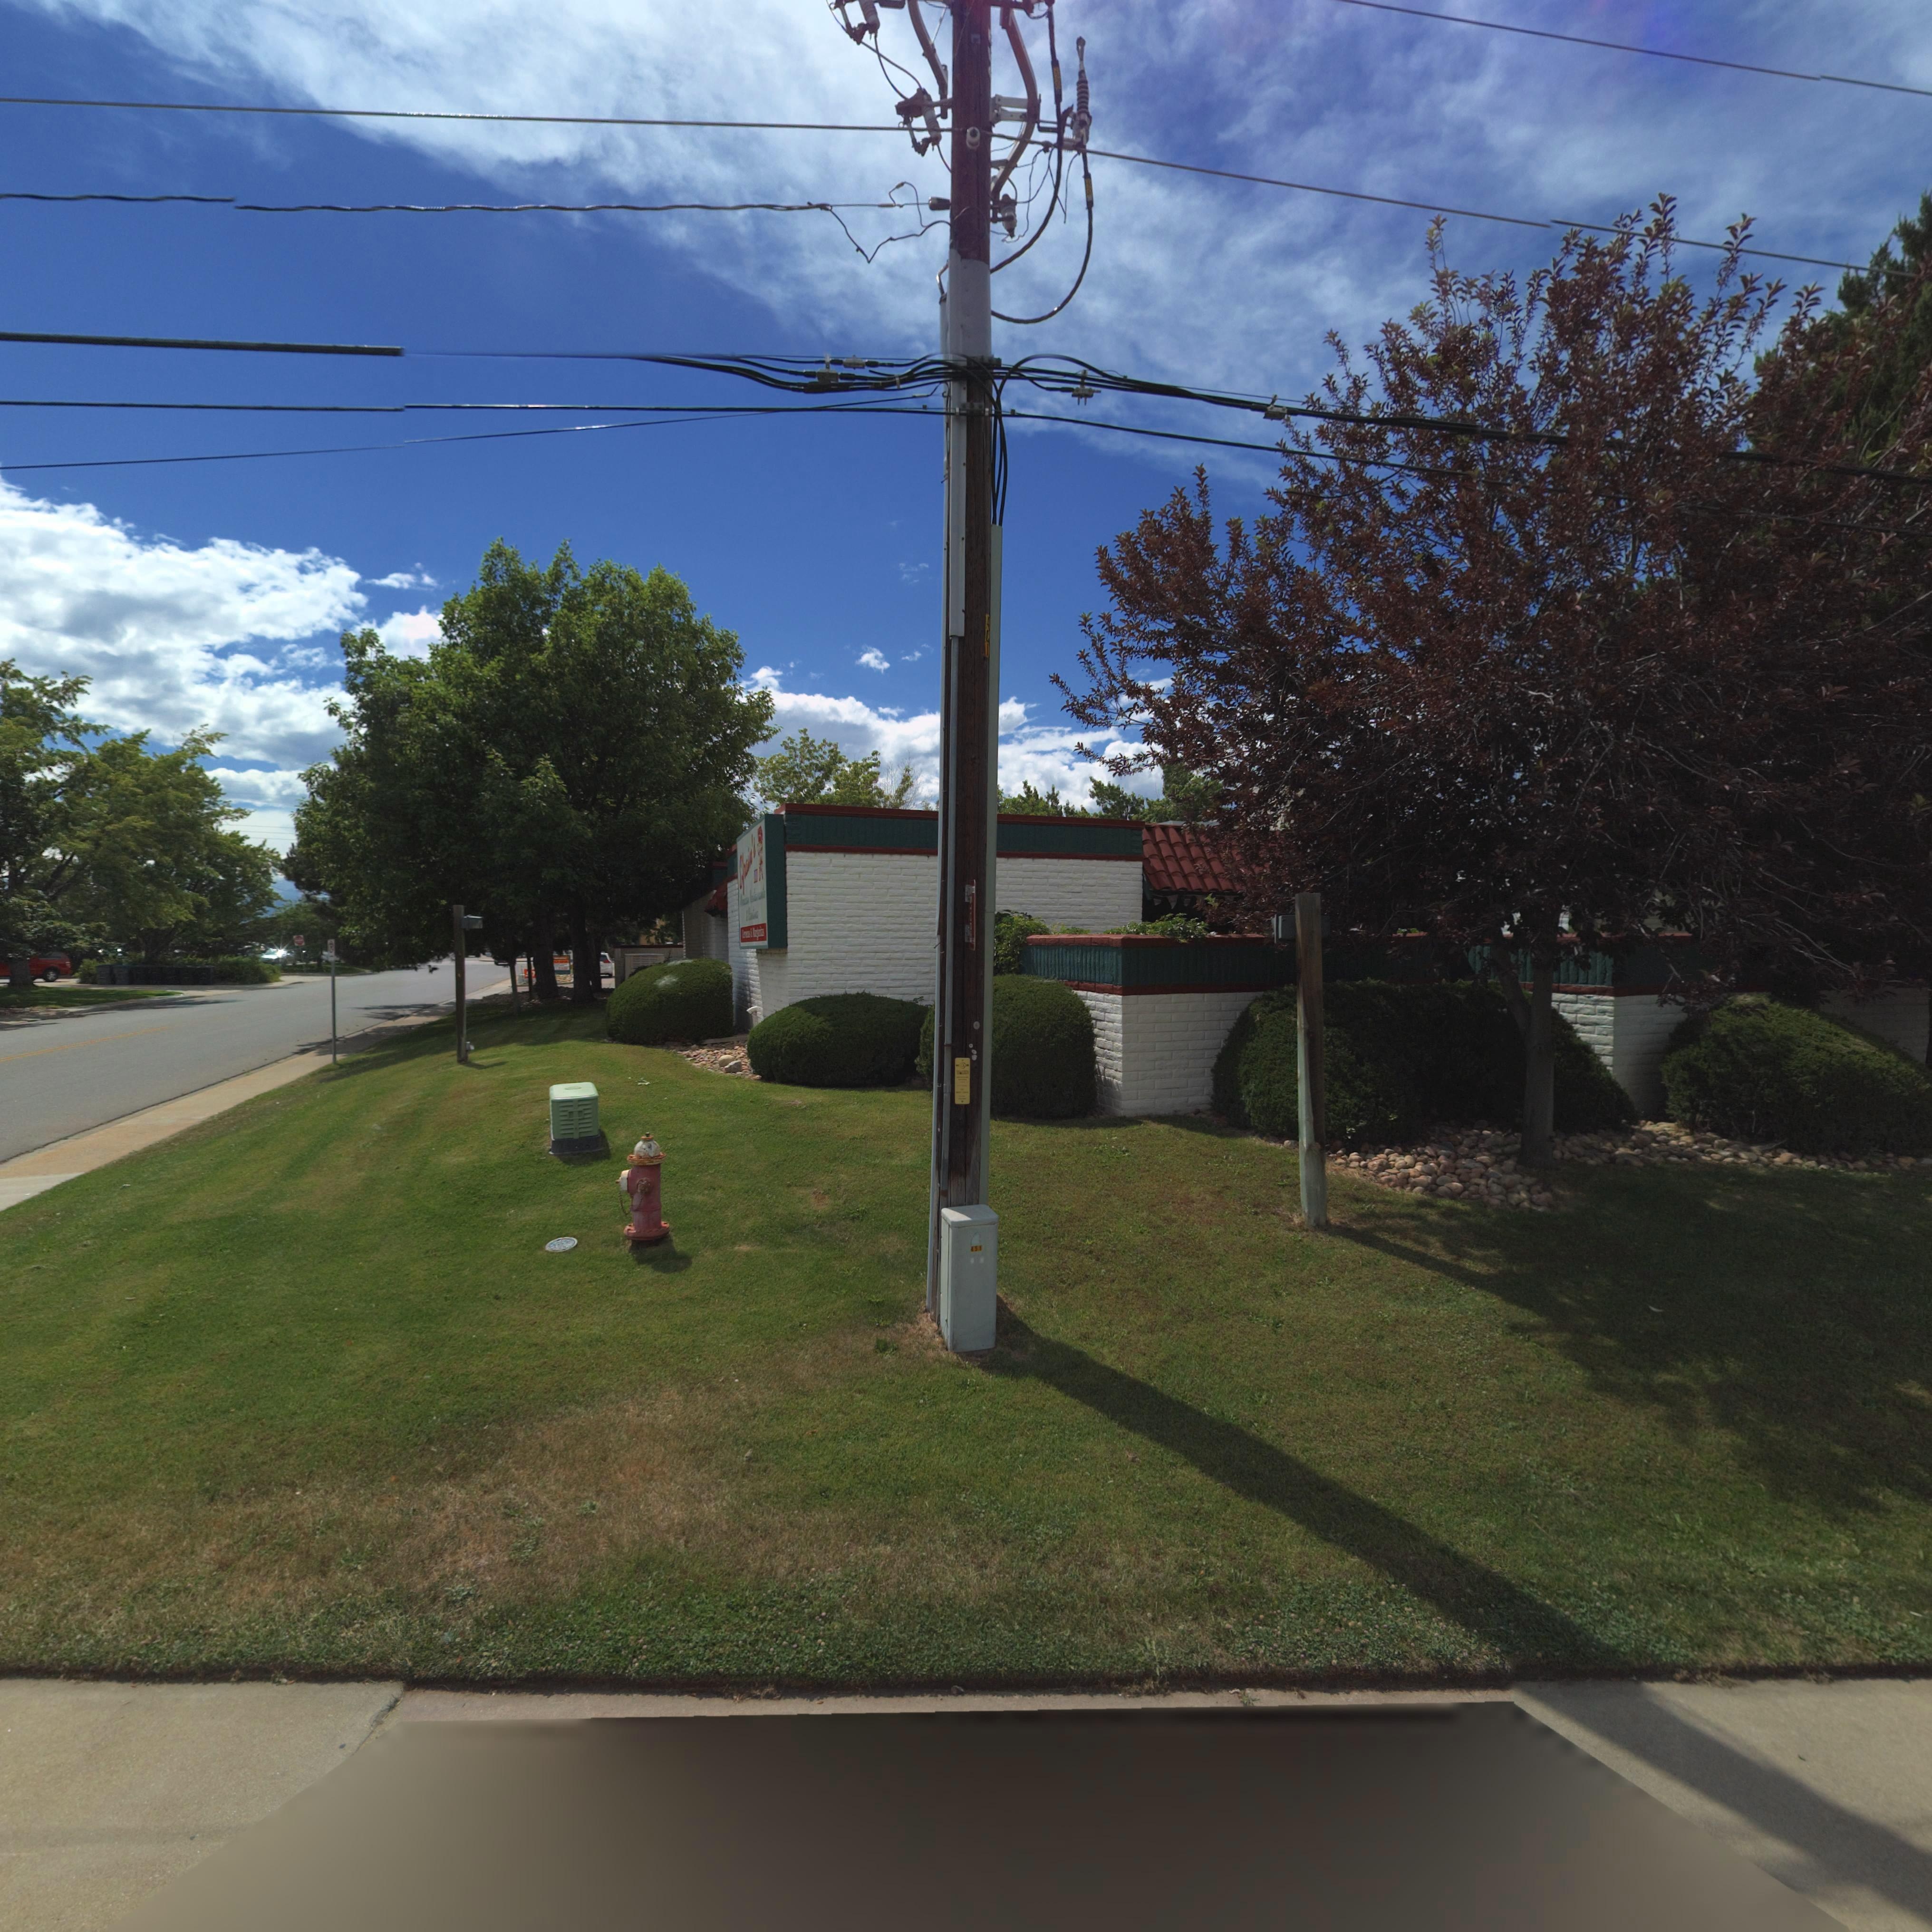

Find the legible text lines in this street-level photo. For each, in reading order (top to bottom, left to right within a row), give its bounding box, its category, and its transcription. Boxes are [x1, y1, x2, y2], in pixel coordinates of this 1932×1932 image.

[739, 832, 756, 895] BusinessName: Efrain's
[753, 868, 758, 884] BusinessName: III
[740, 883, 765, 908] BusinessName: Mexican Restaurante
[745, 907, 758, 921] BusinessName: * Cantina